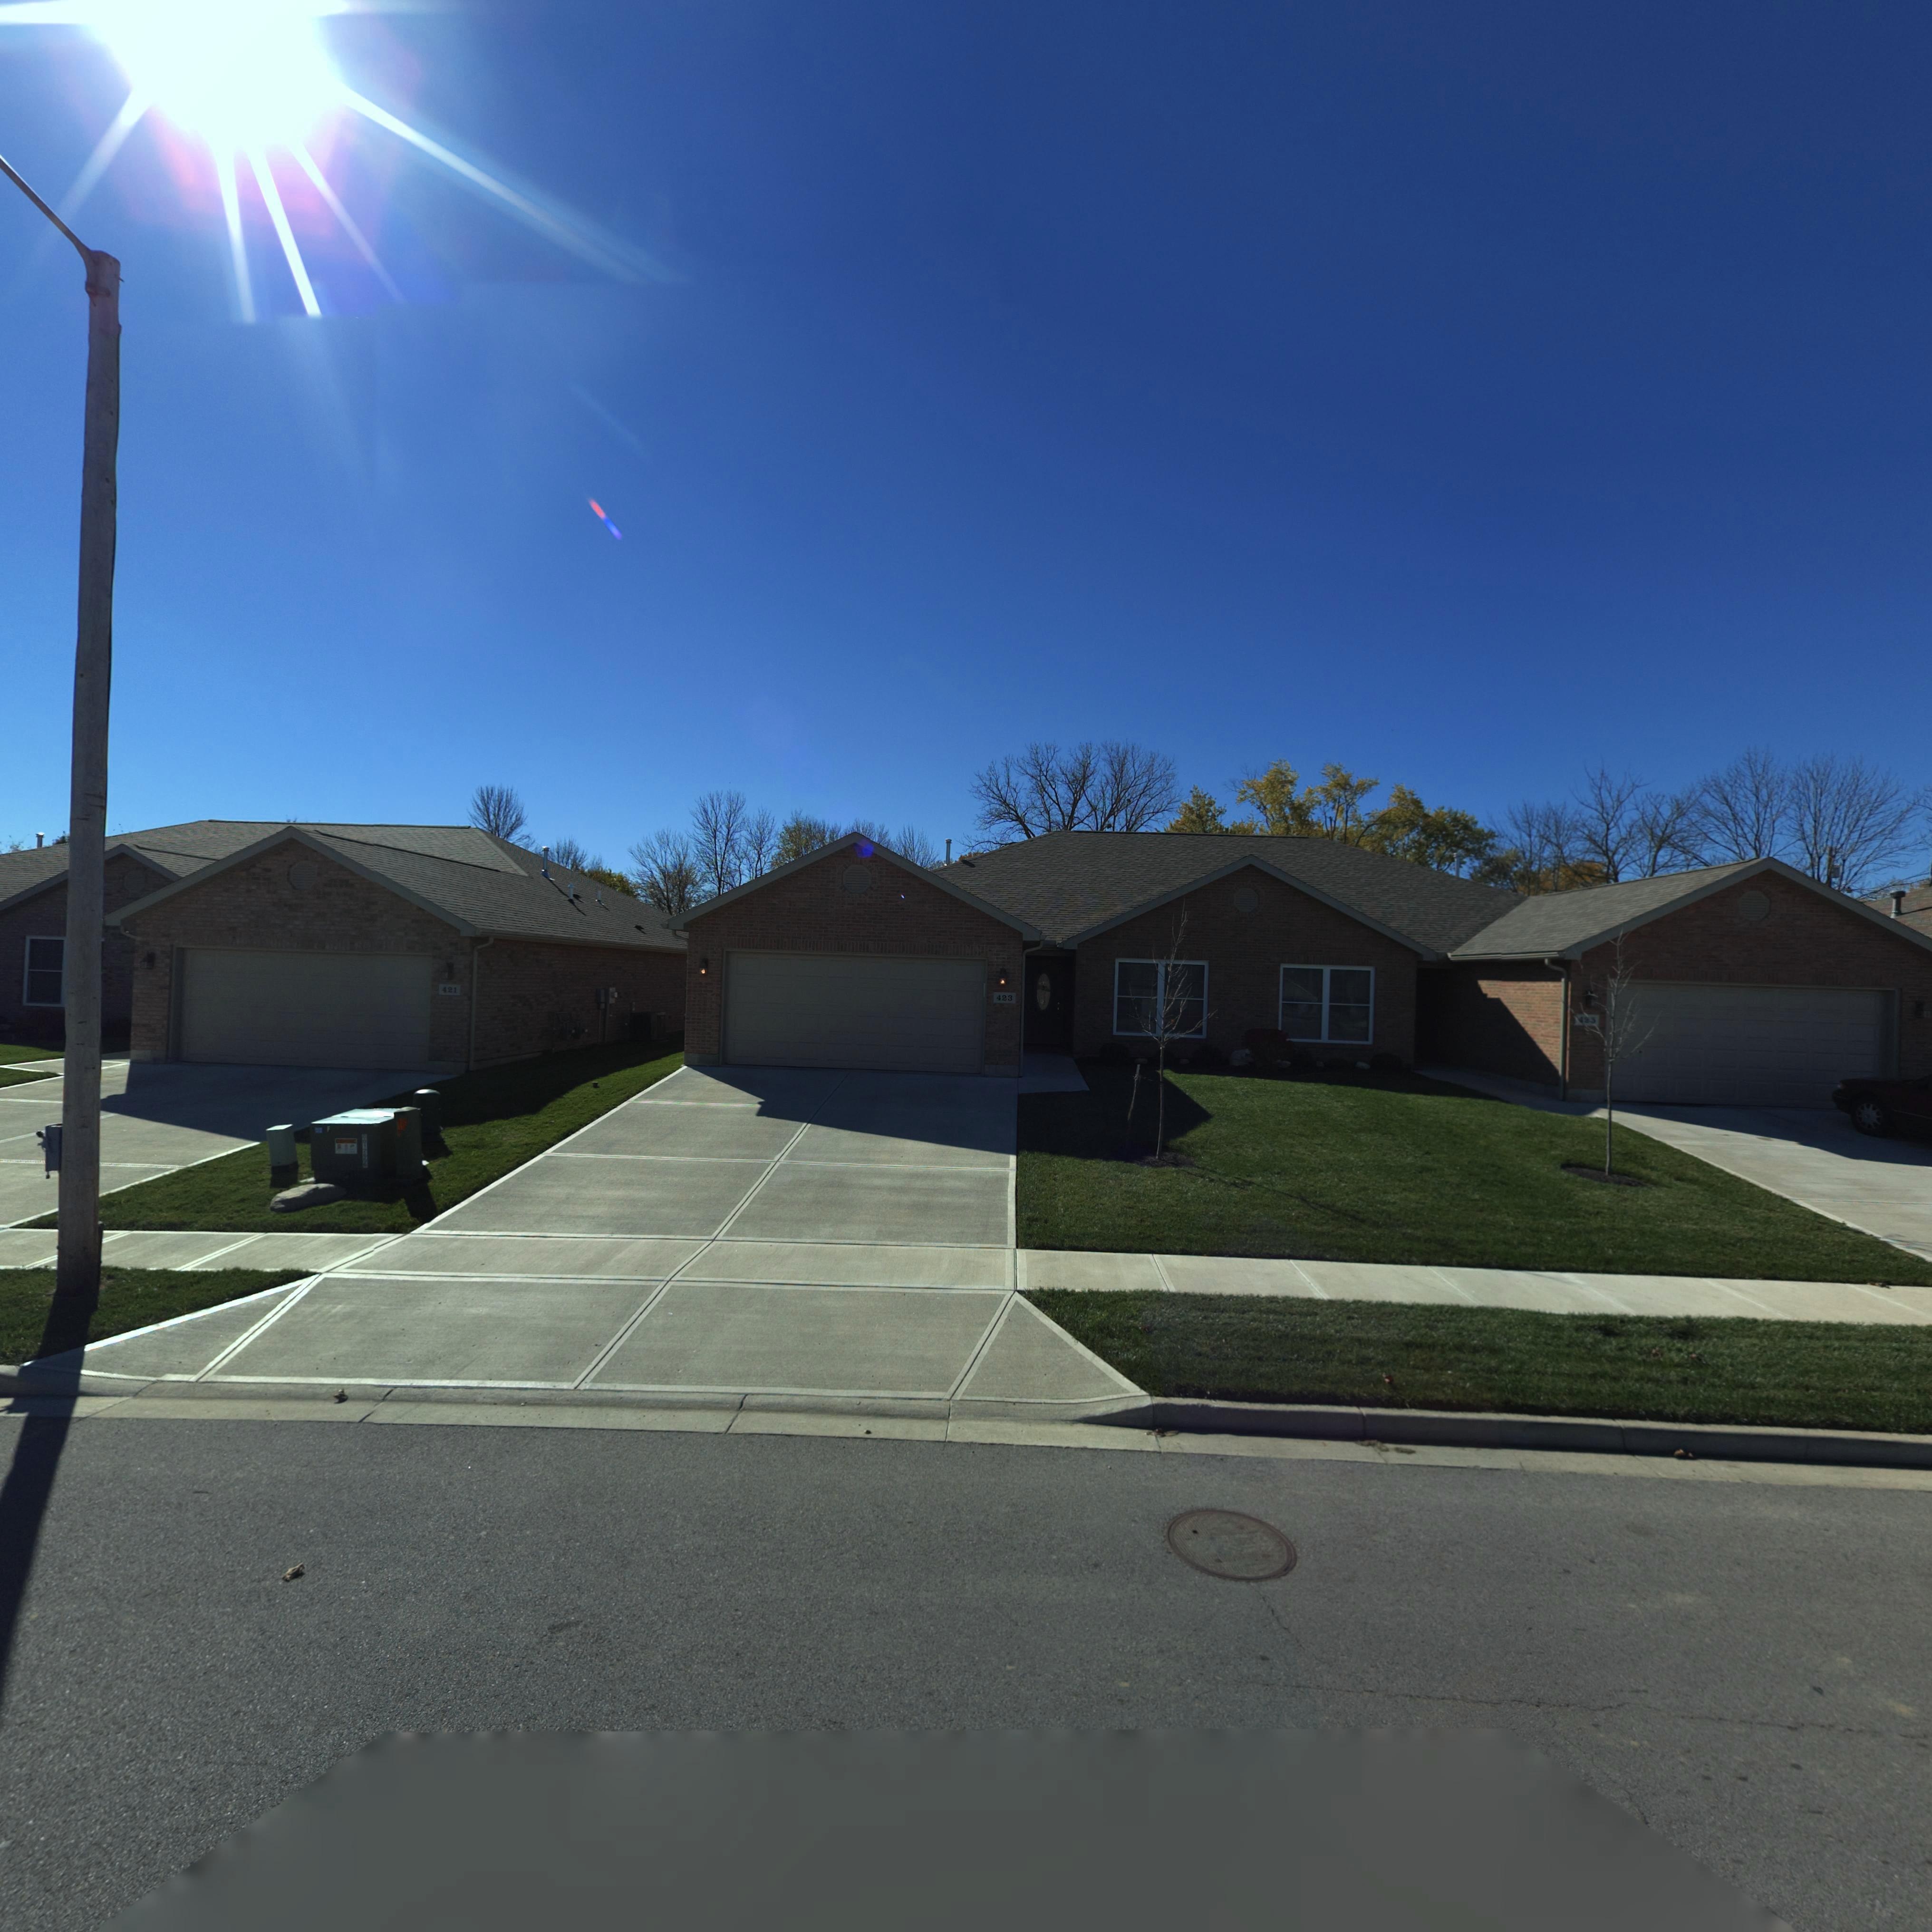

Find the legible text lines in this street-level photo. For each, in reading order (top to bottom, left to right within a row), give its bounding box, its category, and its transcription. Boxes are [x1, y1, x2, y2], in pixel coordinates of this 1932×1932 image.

[441, 985, 458, 994] StreetNumber: 421
[996, 994, 1013, 1002] StreetNumber: 423
[1577, 1015, 1597, 1024] StreetNumber: 42*